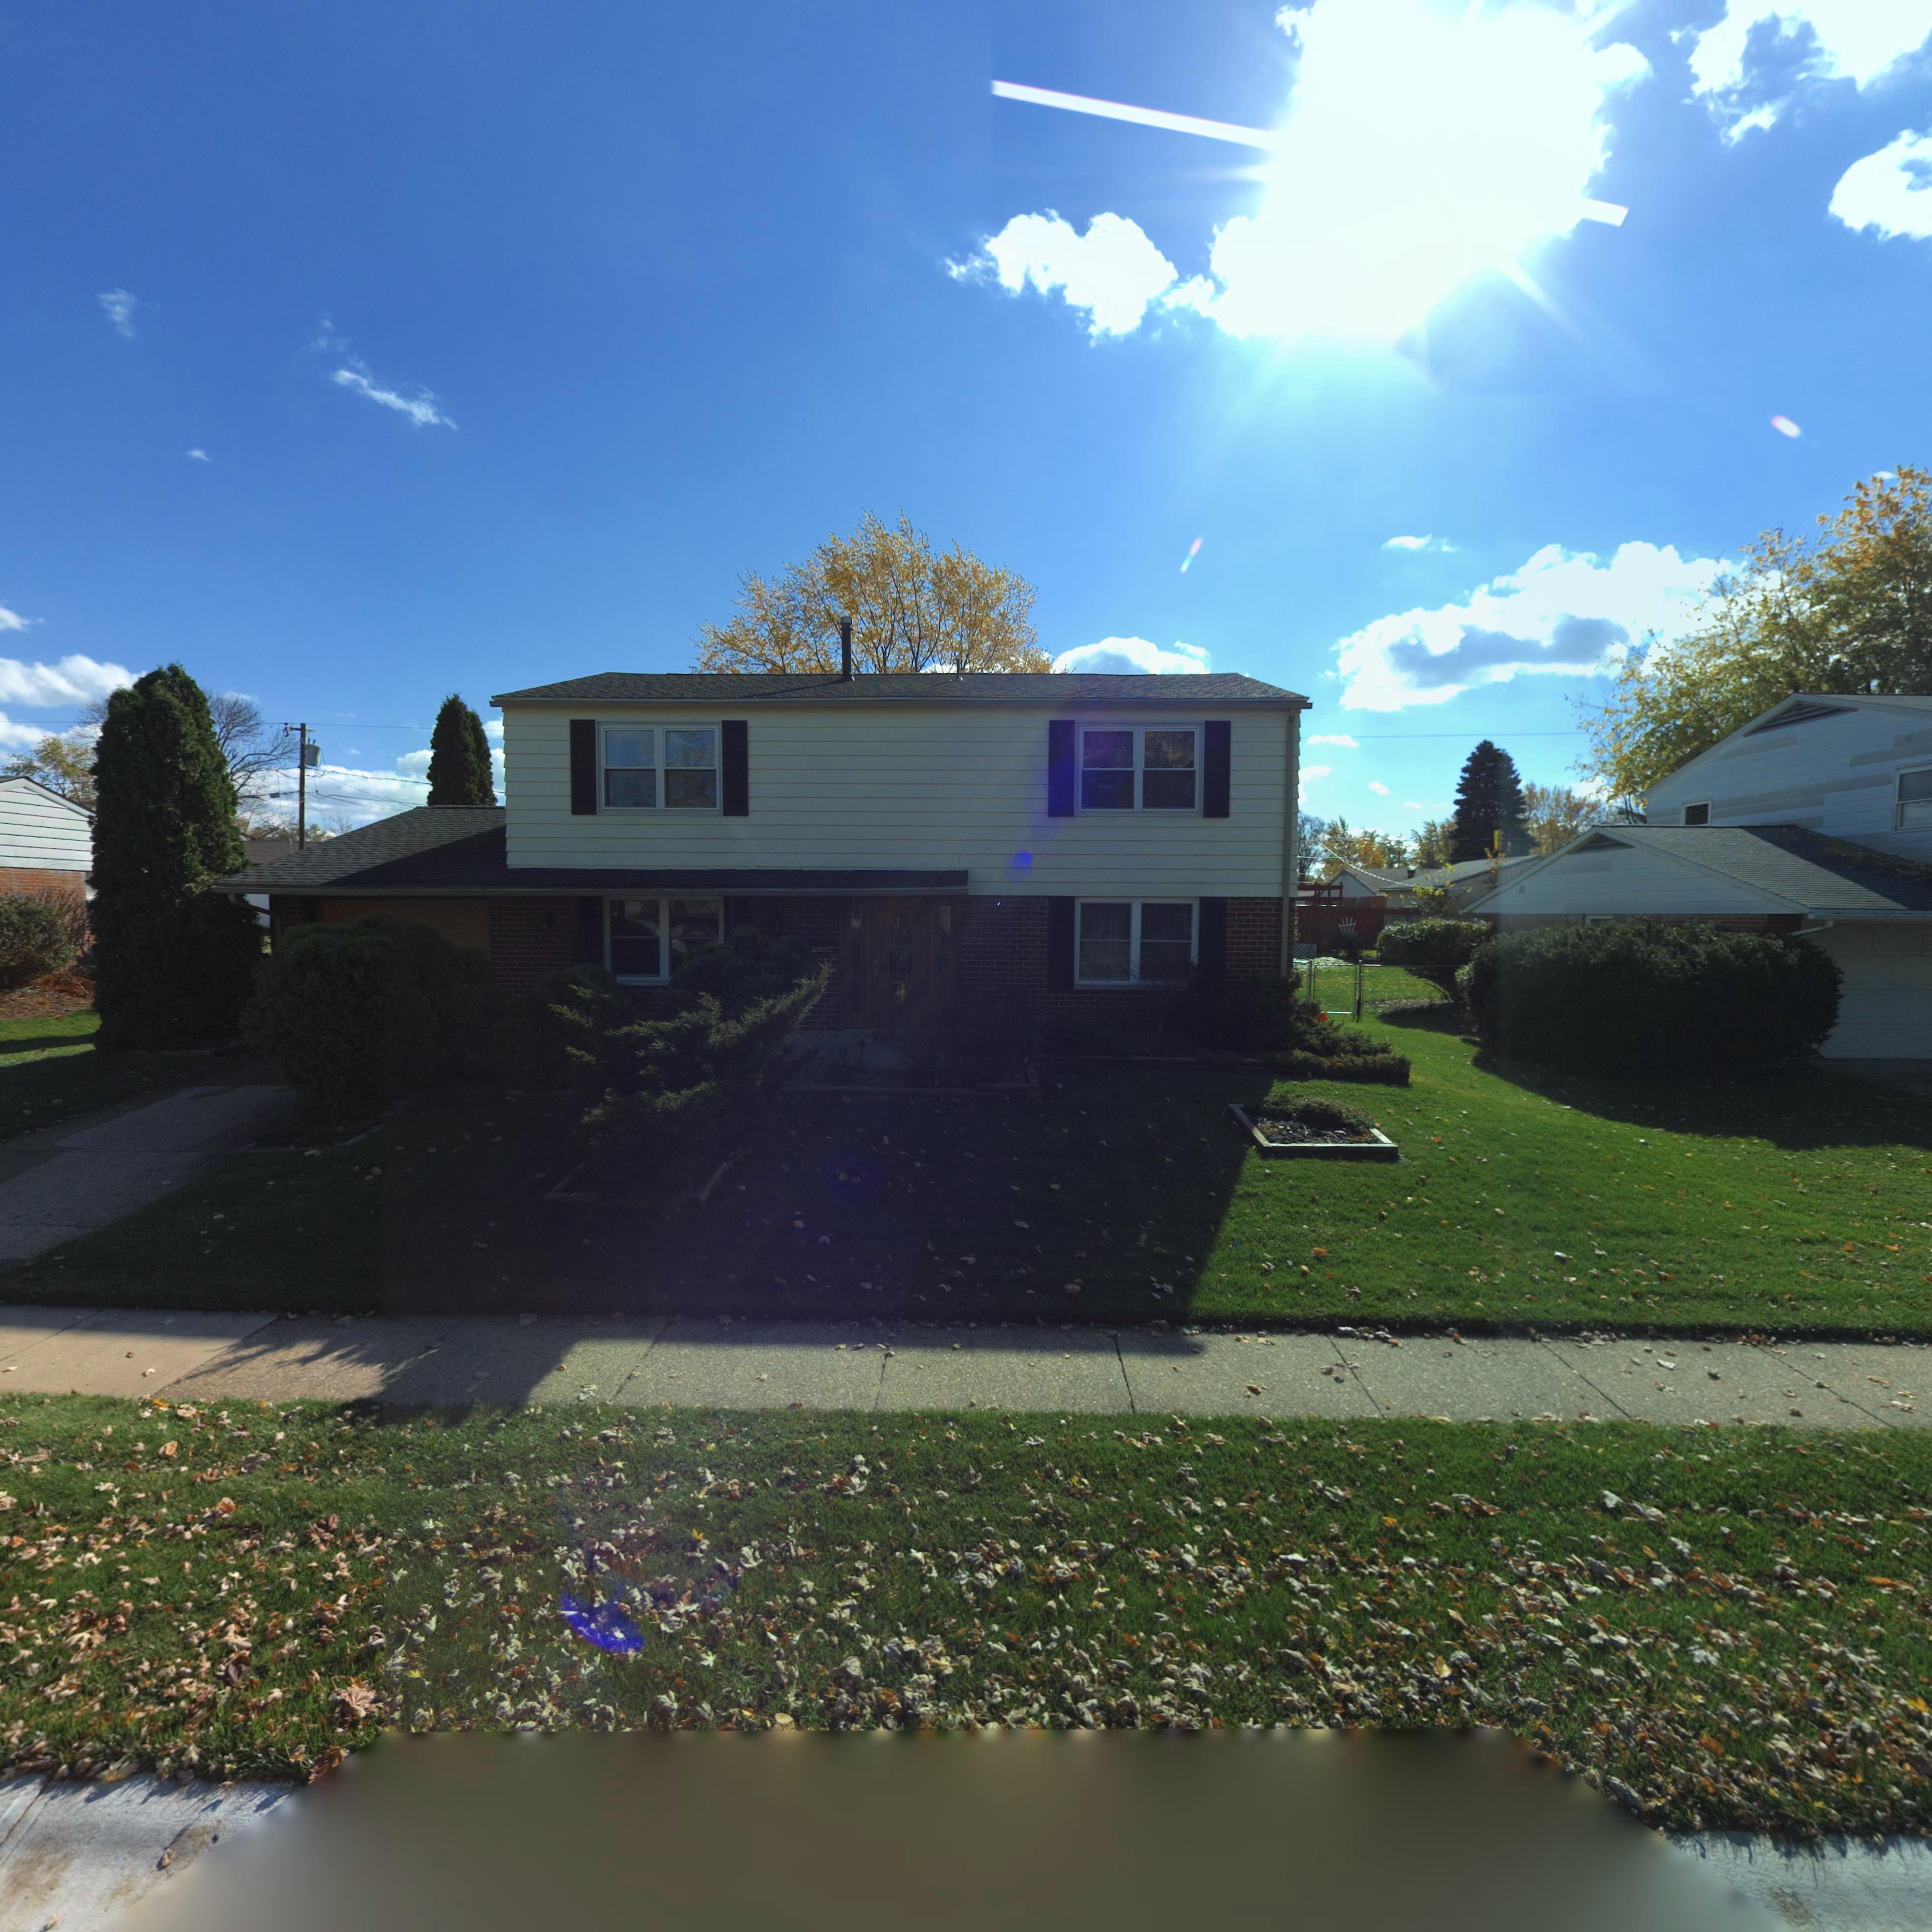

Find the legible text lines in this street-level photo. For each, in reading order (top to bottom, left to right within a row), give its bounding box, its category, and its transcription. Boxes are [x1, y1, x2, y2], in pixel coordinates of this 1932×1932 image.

[811, 946, 835, 953] StreetNumber: 7754